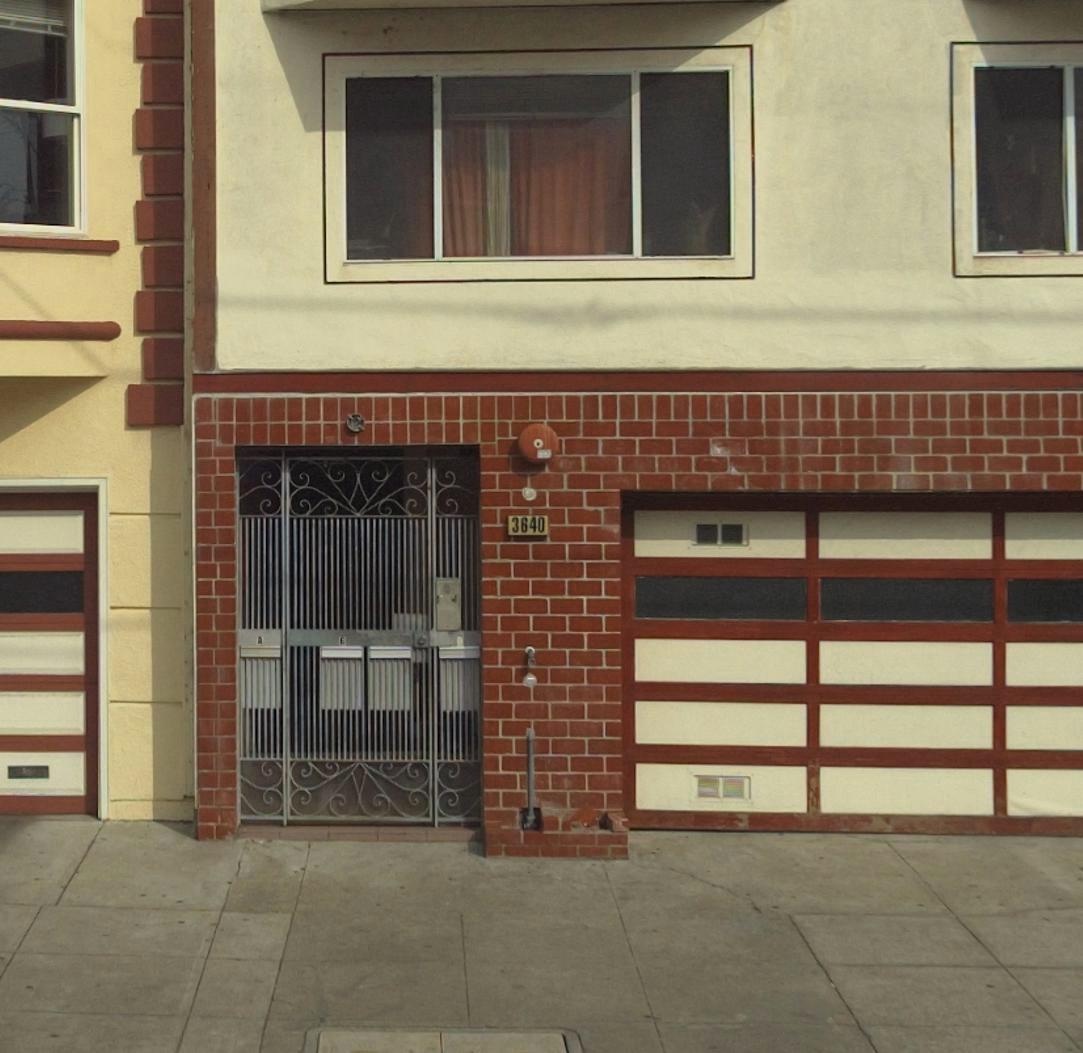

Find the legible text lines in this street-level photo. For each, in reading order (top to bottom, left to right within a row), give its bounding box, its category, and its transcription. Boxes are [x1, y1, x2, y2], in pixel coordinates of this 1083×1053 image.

[511, 515, 546, 534] StreetNumber: 3640